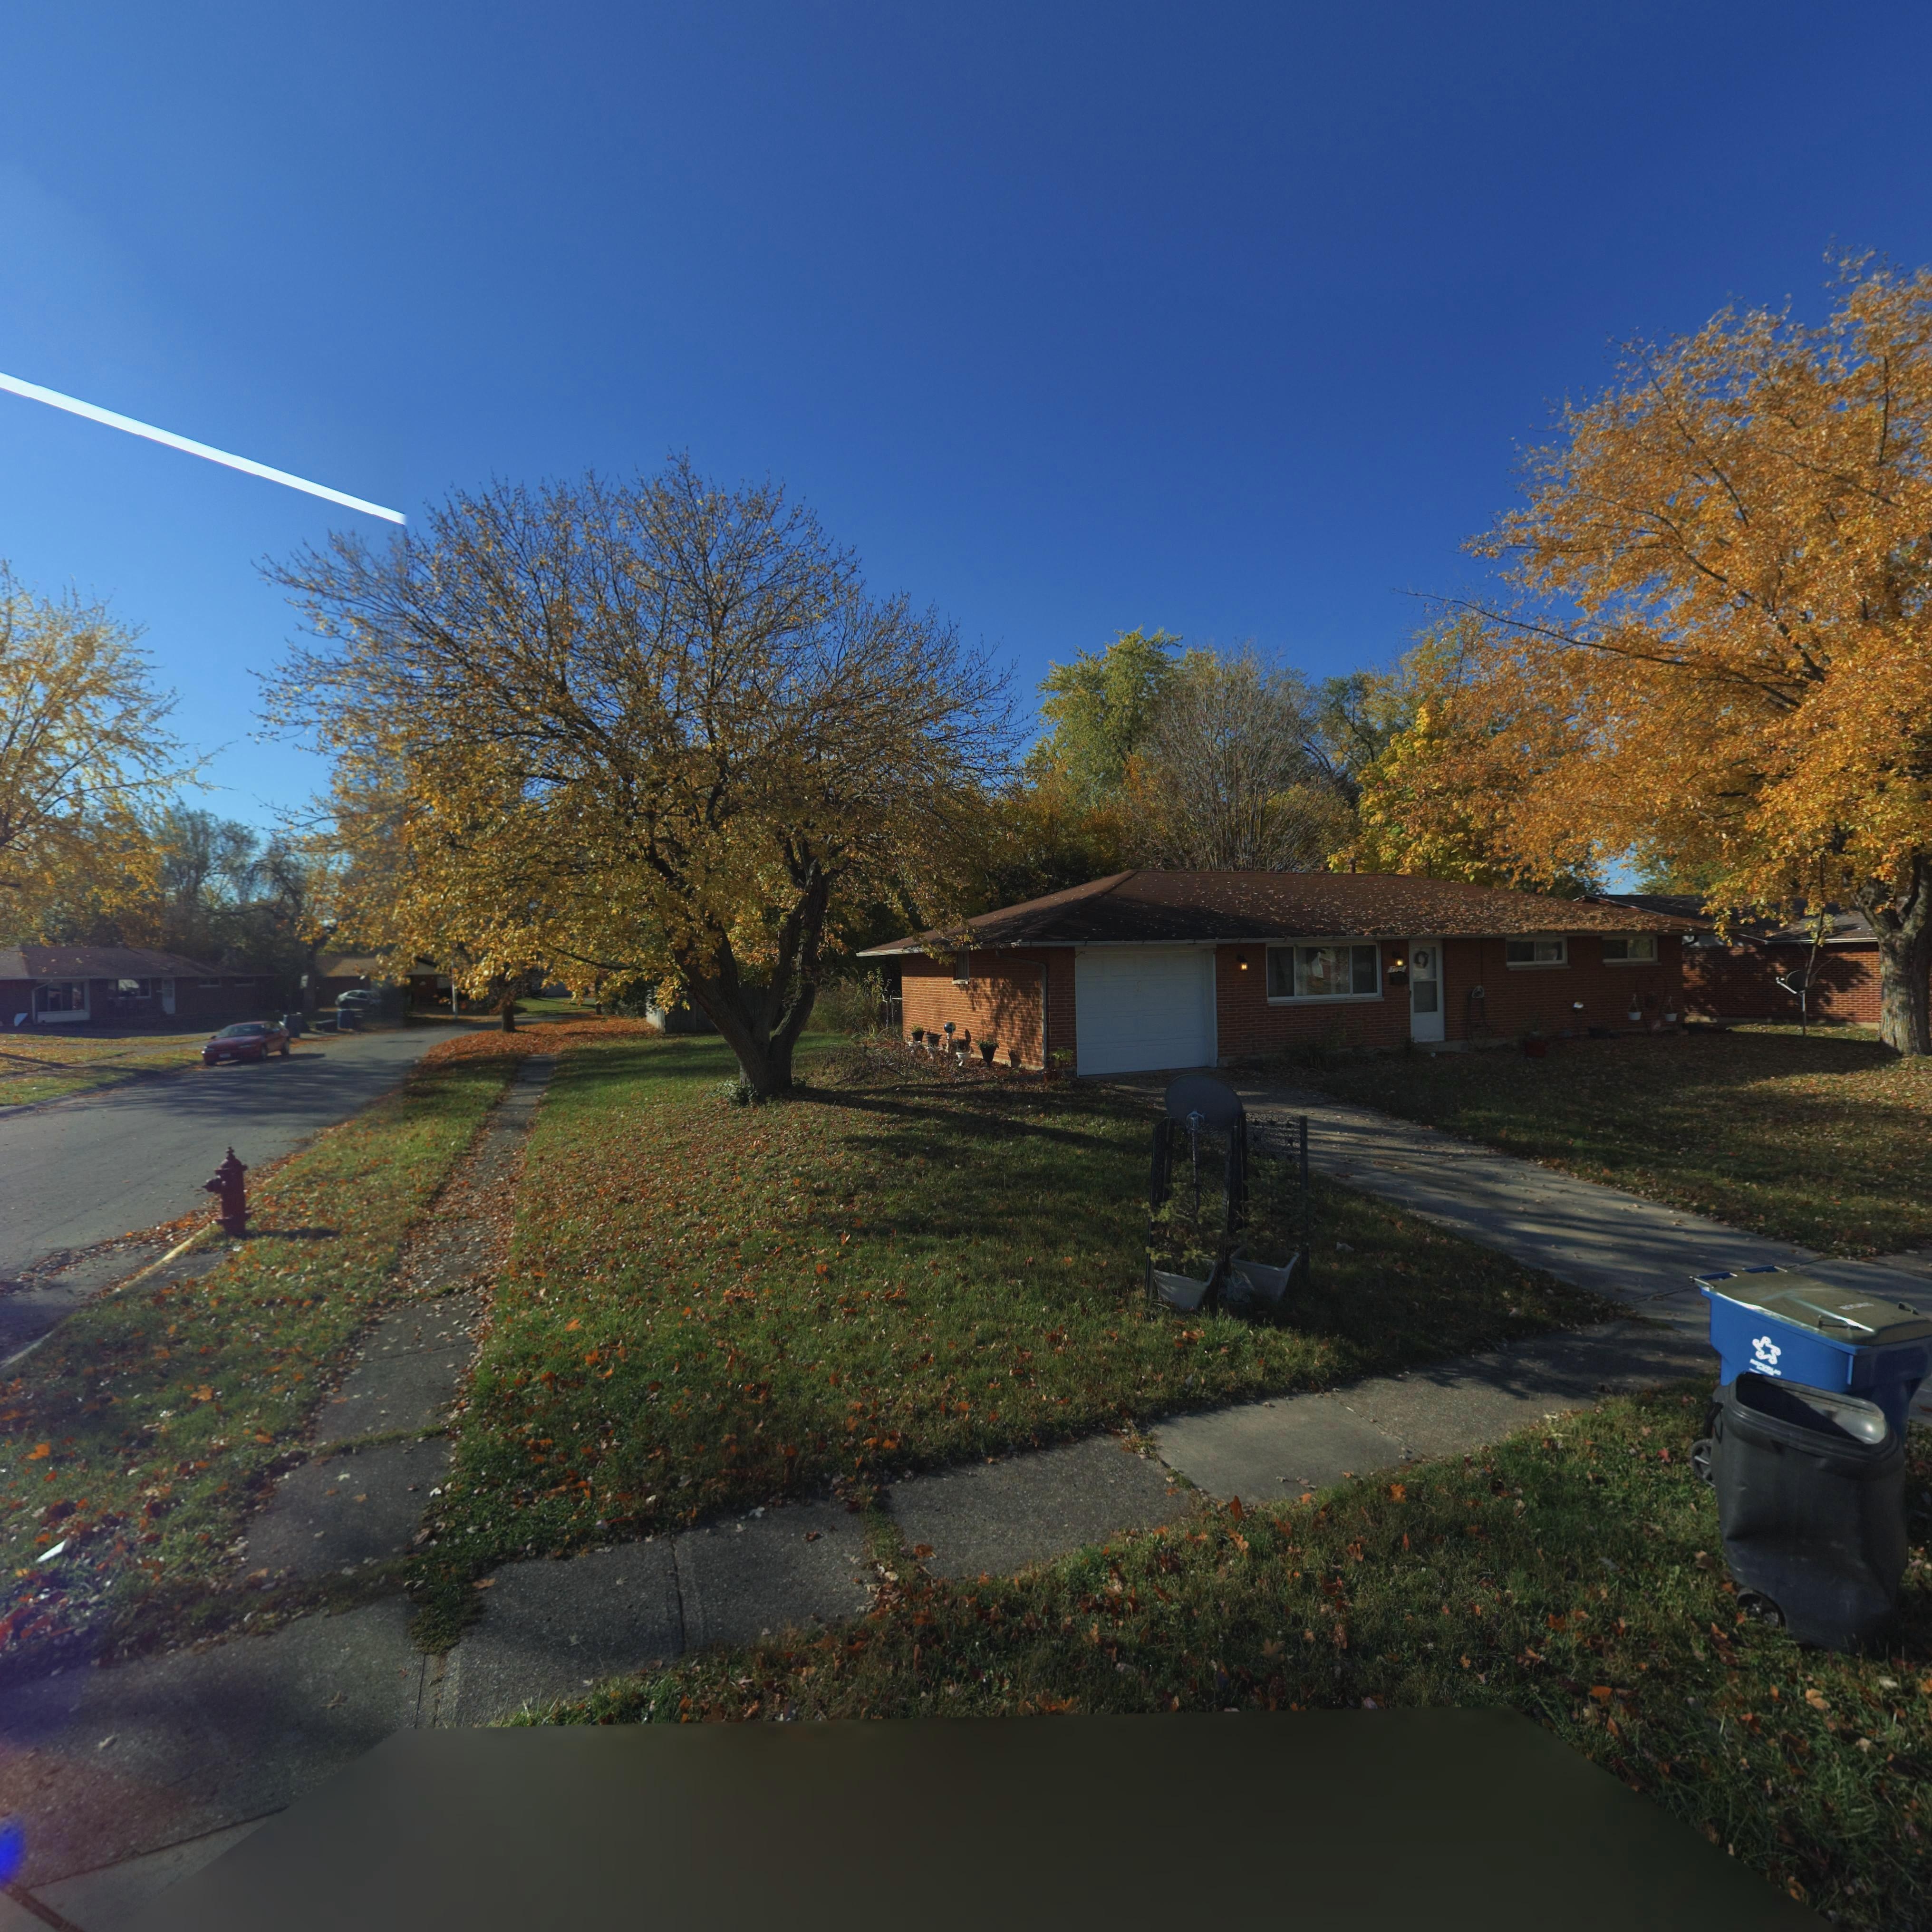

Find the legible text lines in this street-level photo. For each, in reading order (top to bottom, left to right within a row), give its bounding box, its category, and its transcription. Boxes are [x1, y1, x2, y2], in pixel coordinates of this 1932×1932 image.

[1390, 966, 1406, 972] StreetNumber: 7996